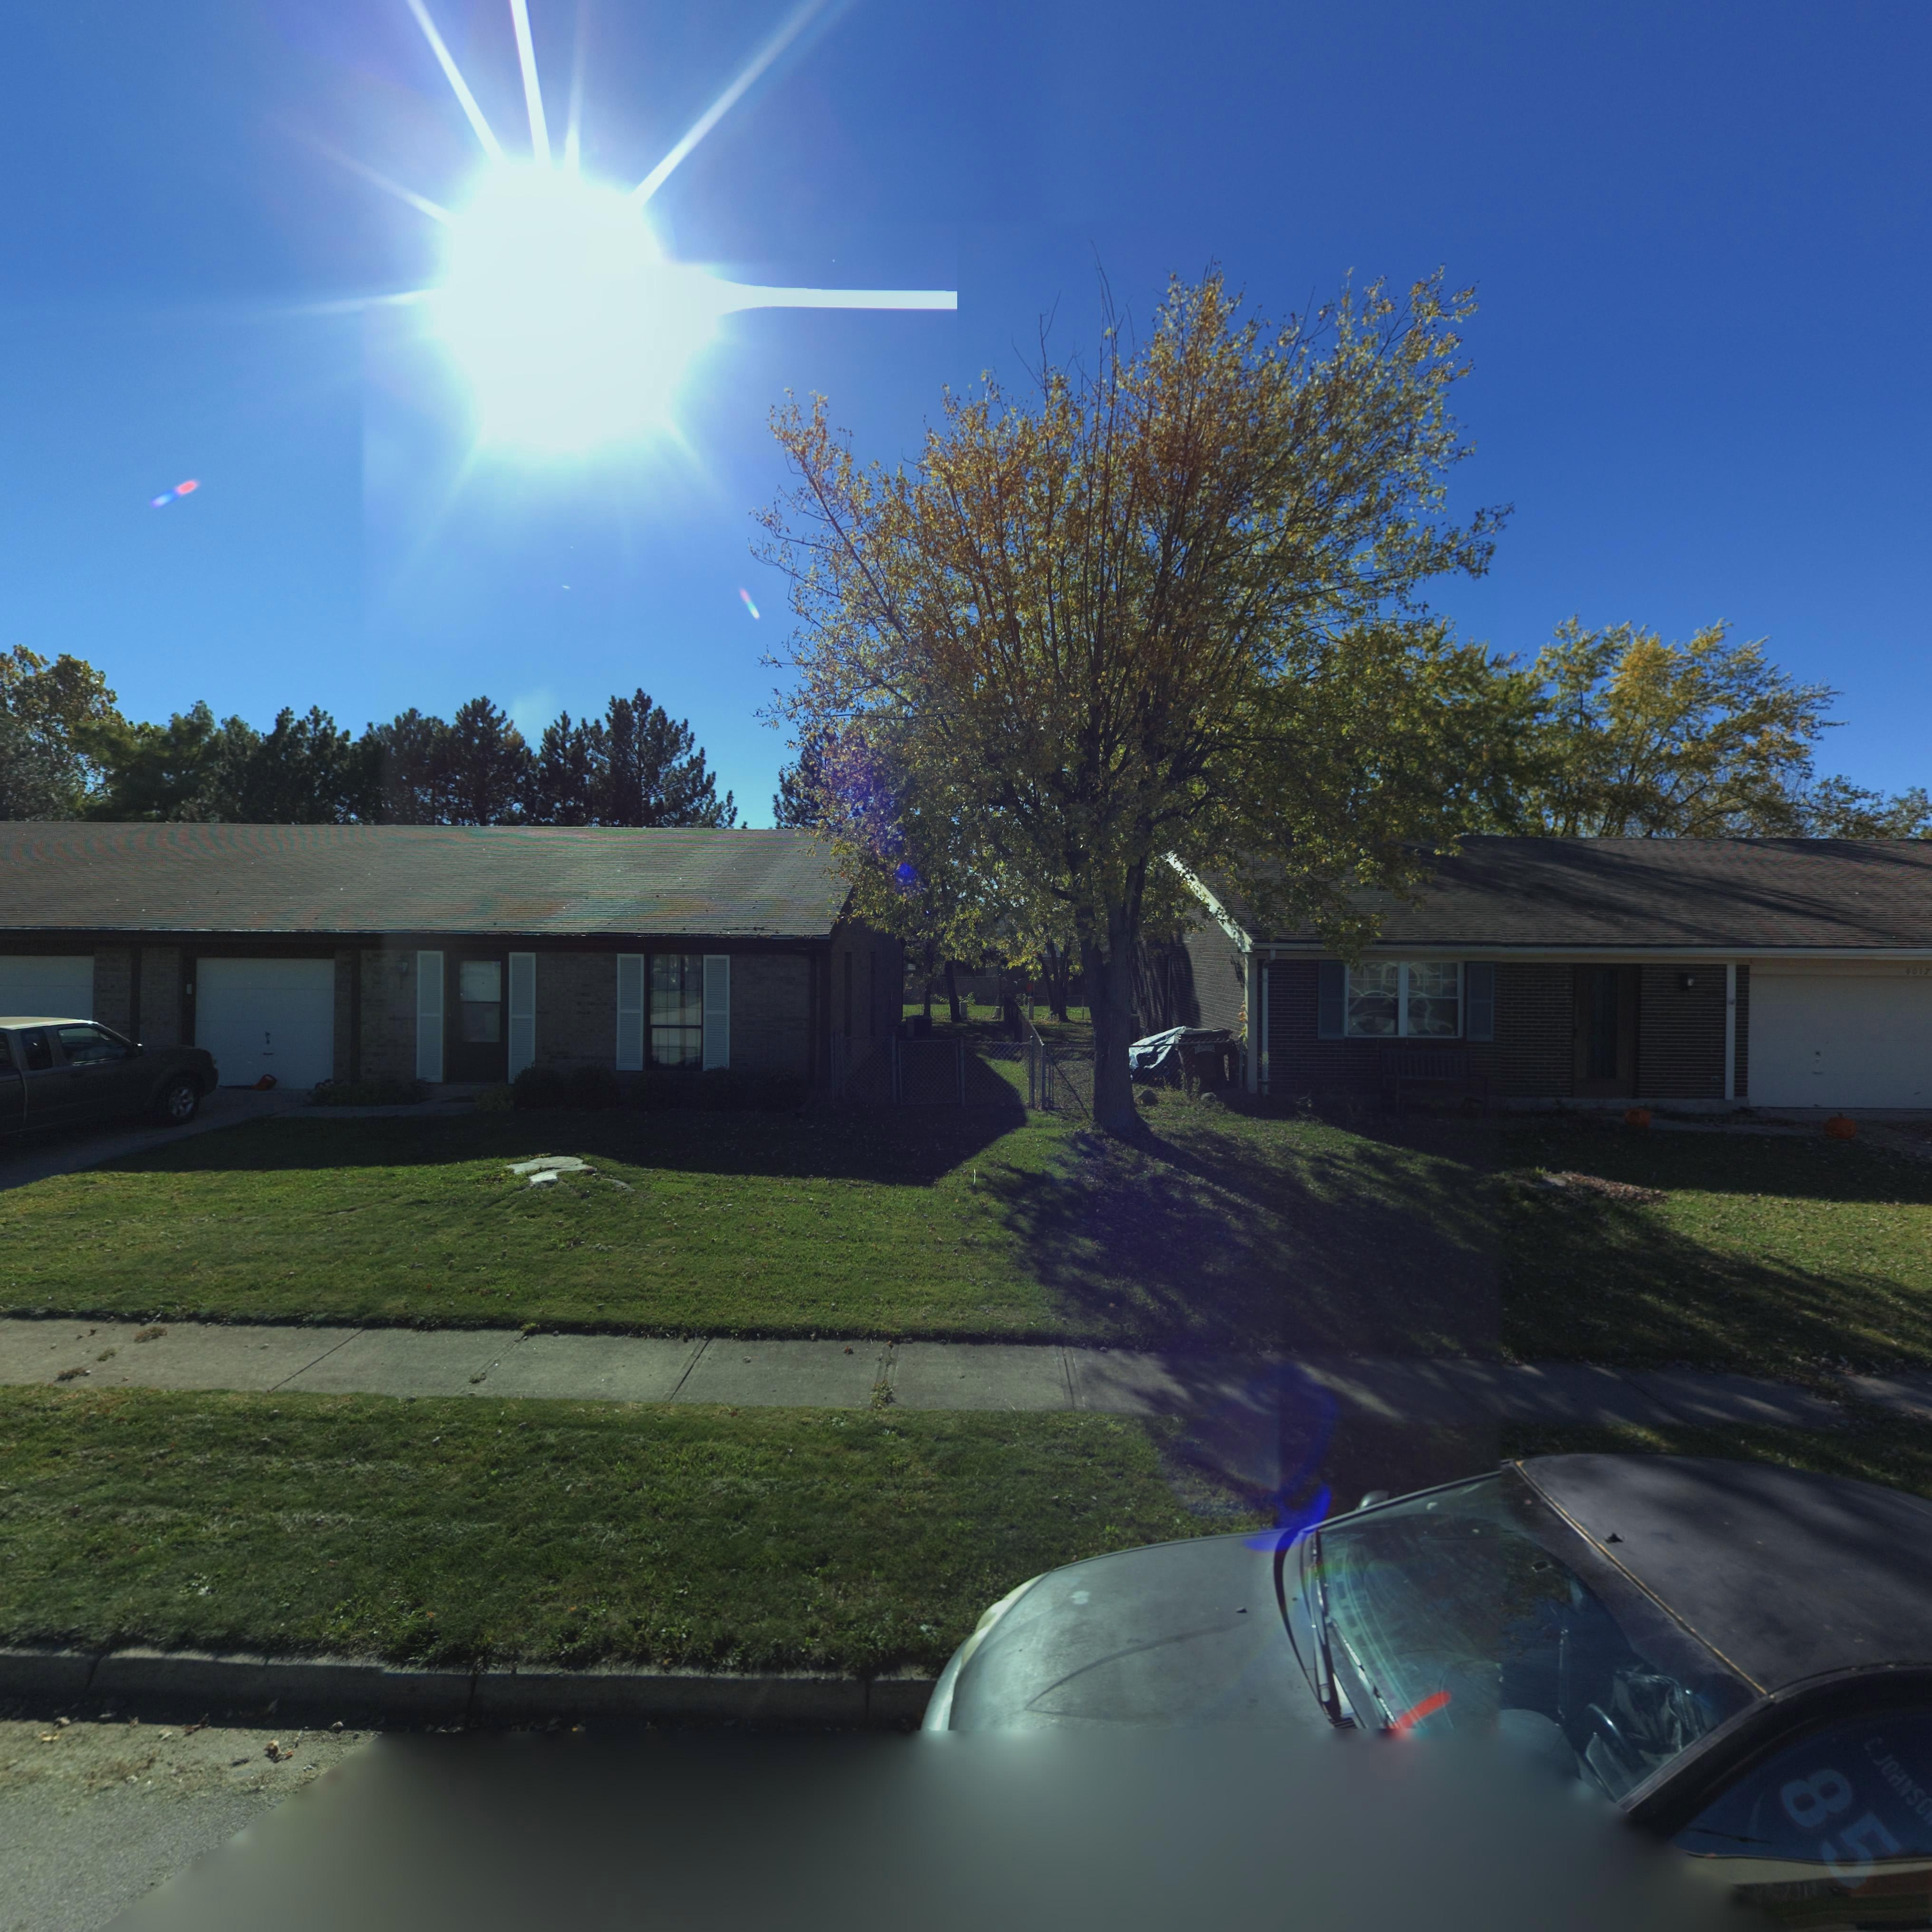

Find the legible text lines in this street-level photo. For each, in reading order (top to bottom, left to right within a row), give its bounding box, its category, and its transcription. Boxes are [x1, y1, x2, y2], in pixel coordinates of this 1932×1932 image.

[1905, 967, 1930, 976] StreetNumber: 4012